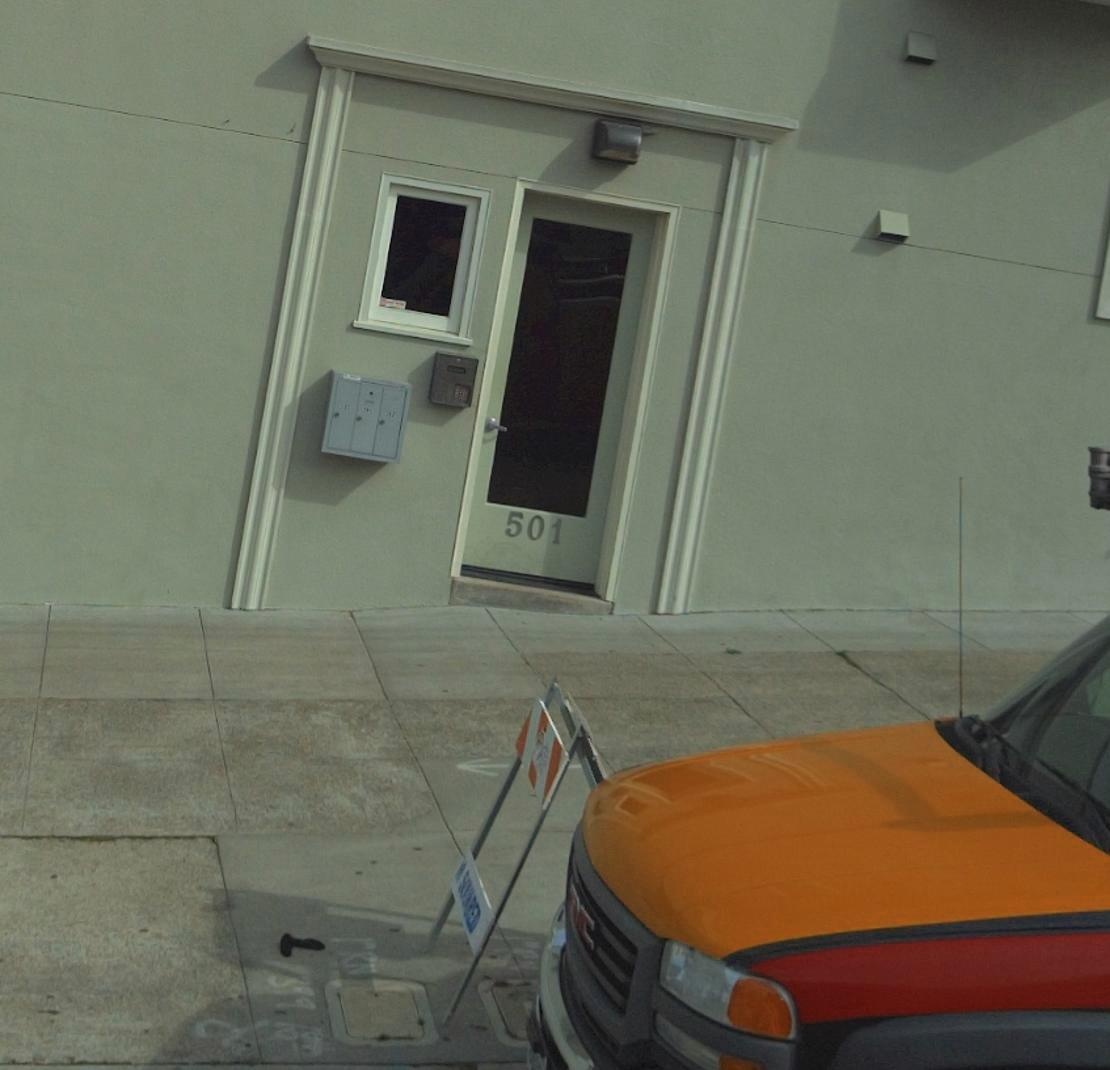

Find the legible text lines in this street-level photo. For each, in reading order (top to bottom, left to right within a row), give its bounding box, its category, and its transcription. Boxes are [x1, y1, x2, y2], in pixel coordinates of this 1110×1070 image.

[503, 509, 563, 546] StreetNumber: 501